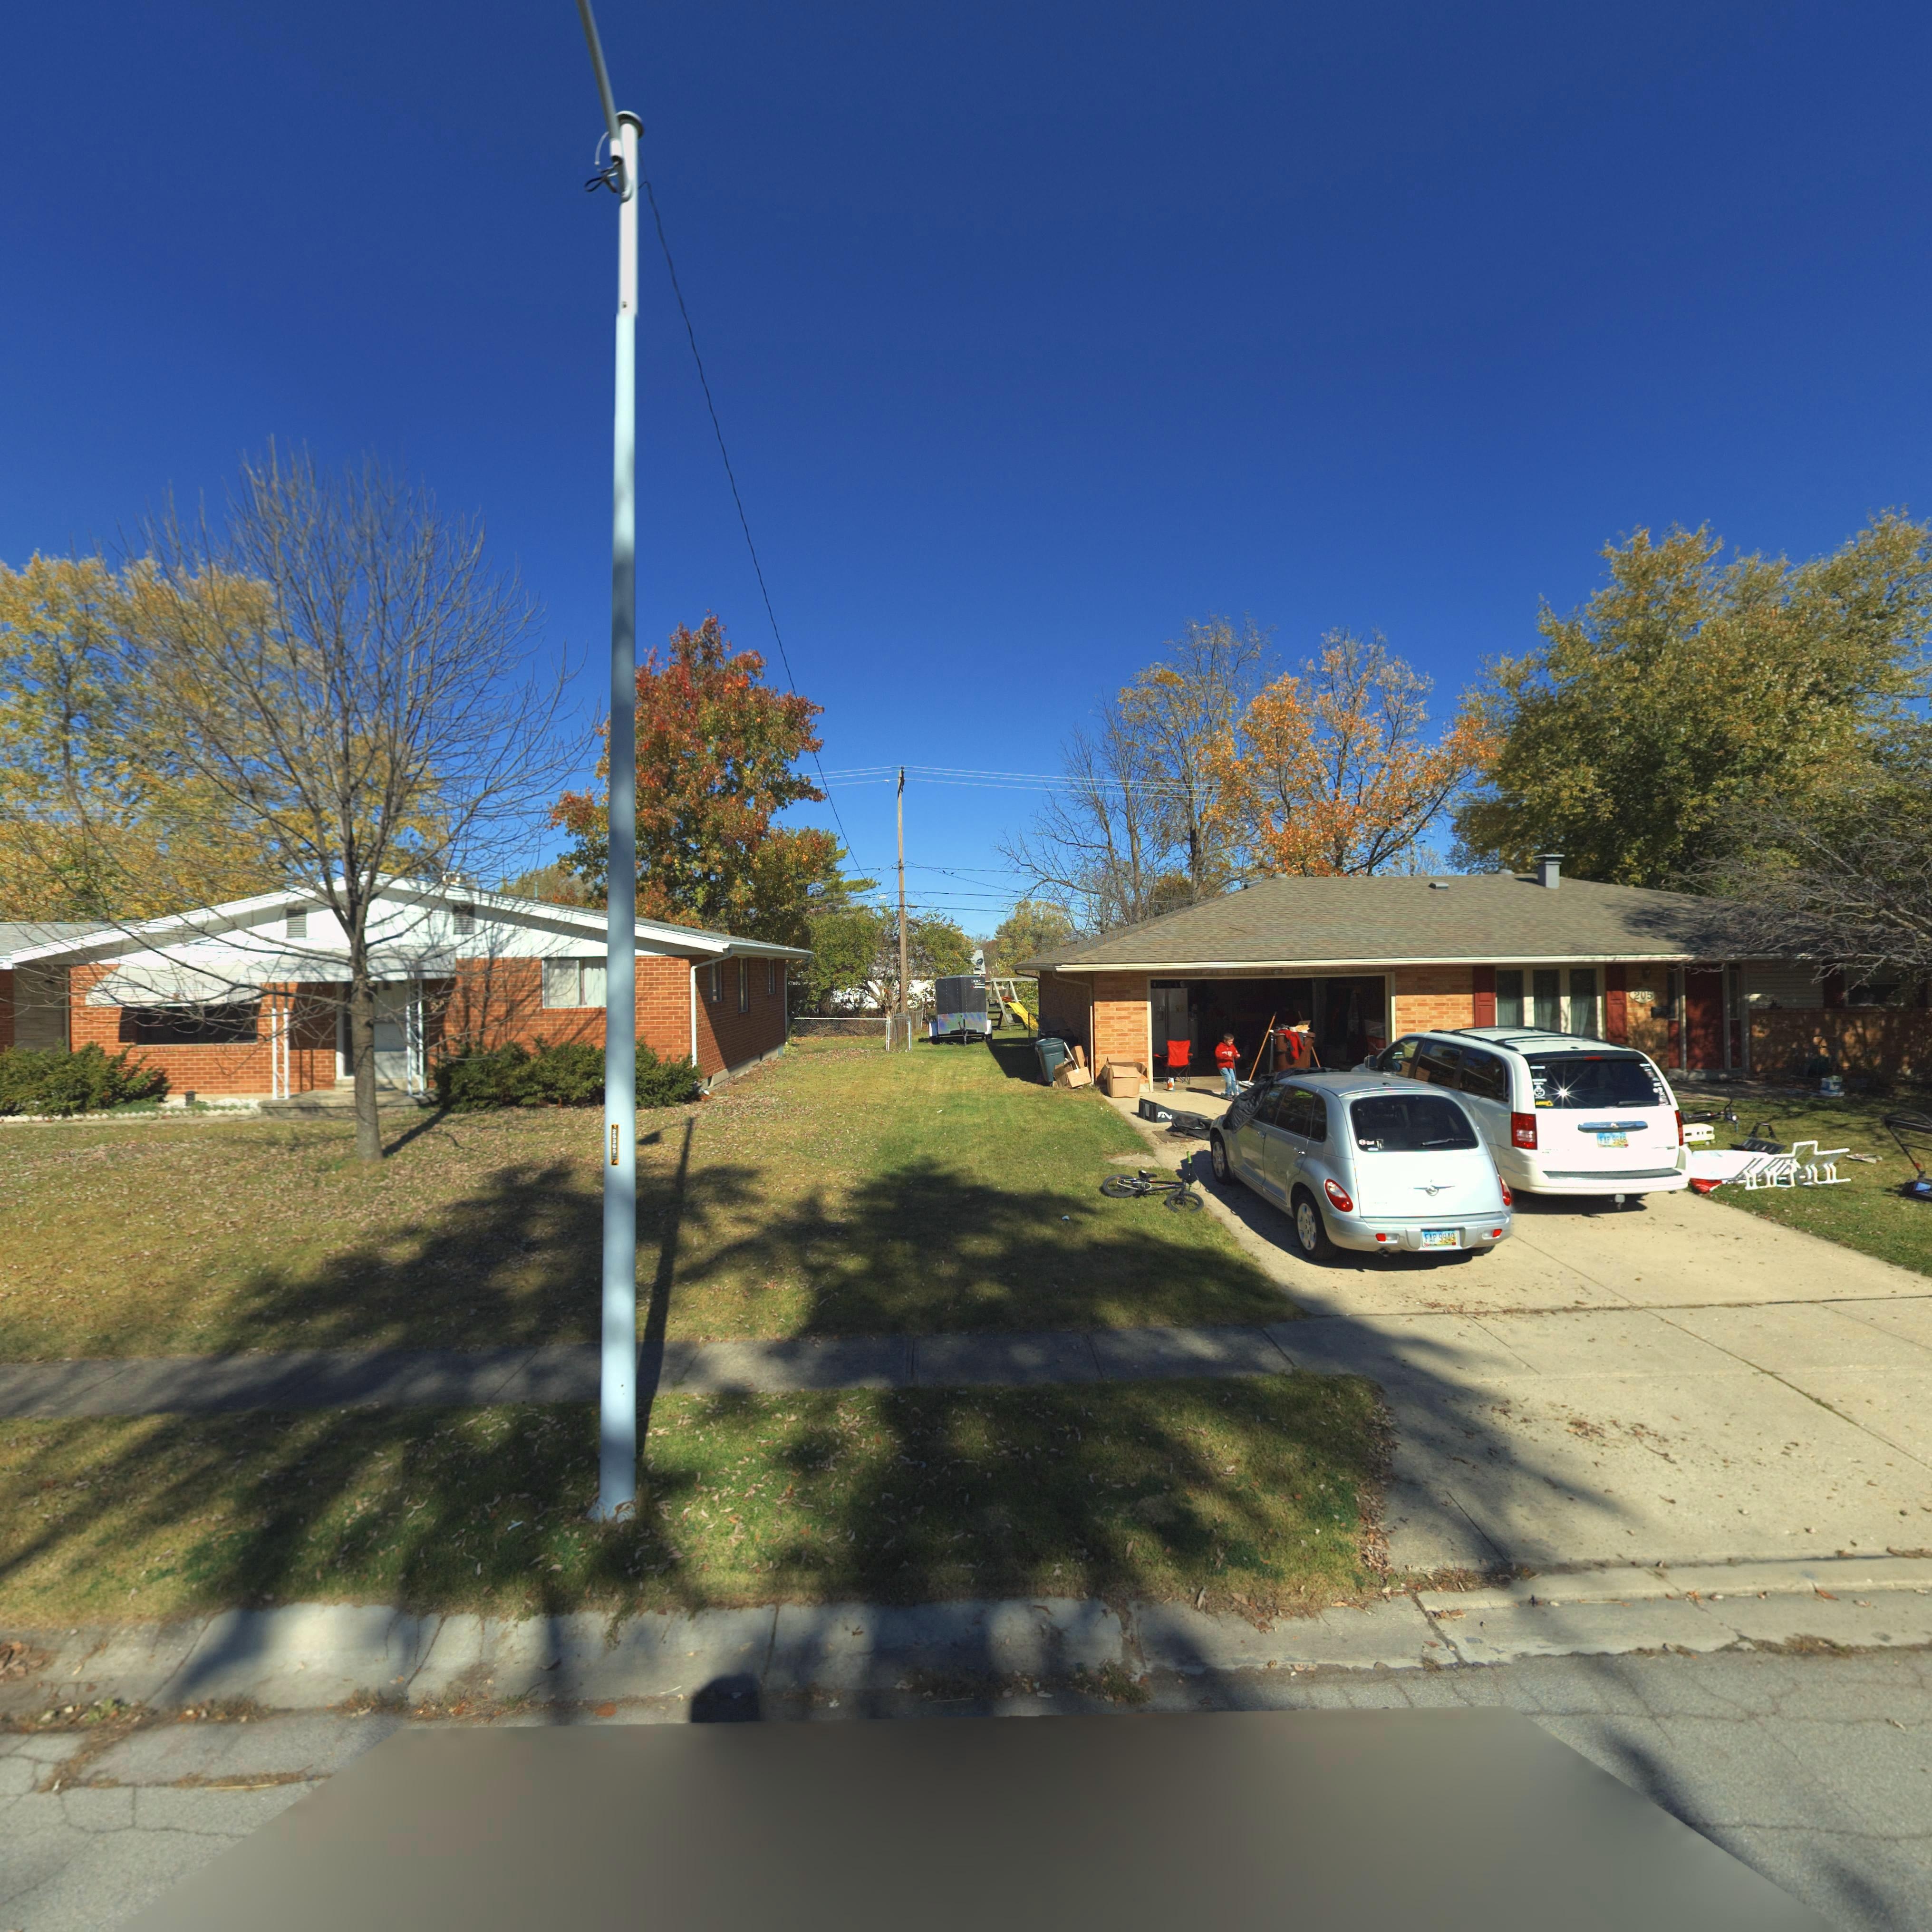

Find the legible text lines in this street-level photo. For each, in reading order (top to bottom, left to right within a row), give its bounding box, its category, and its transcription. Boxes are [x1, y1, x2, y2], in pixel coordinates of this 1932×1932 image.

[1633, 990, 1654, 1000] StreetNumber: 205